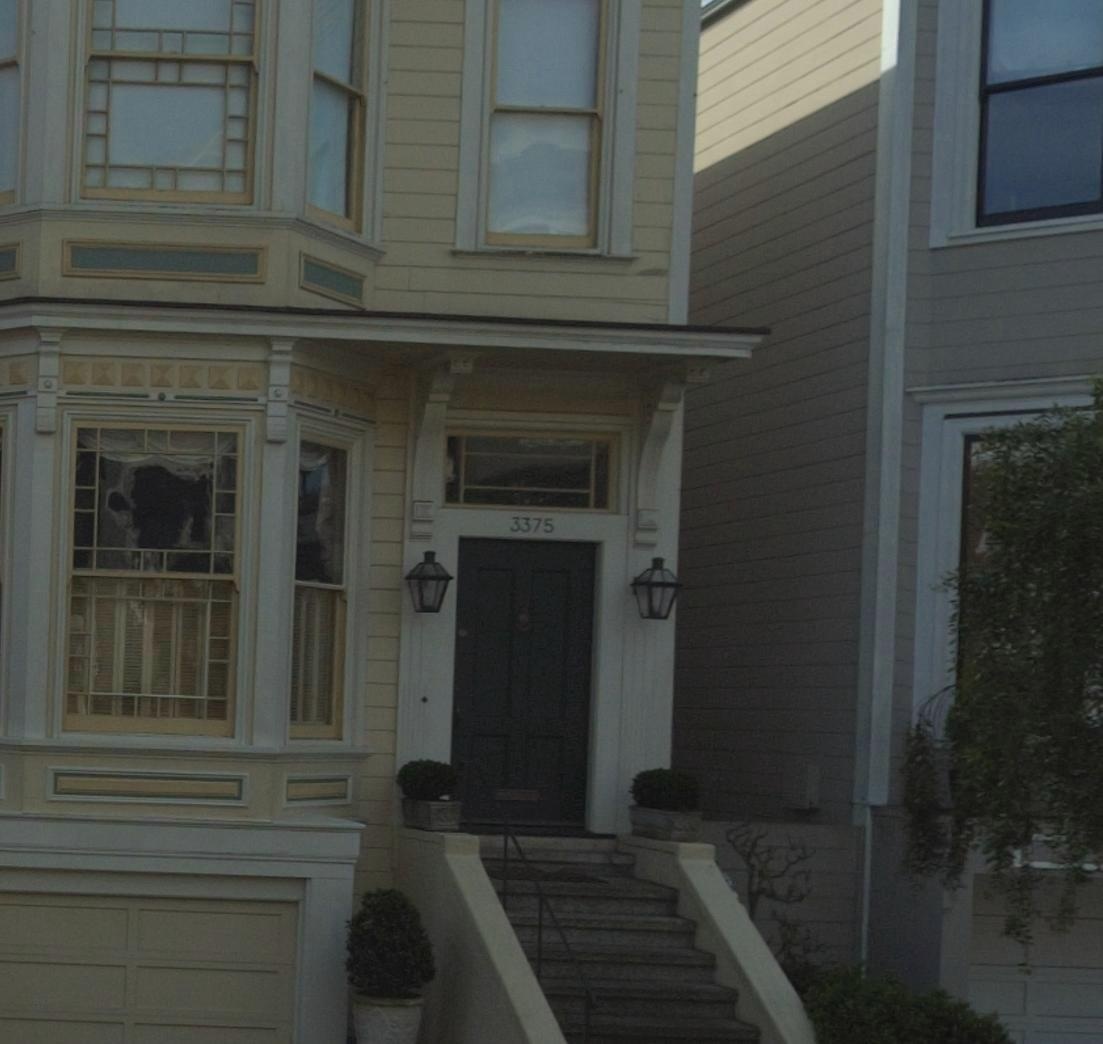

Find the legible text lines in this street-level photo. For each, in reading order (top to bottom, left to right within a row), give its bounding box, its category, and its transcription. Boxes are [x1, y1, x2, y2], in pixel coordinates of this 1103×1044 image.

[506, 514, 556, 535] StreetNumber: 3375